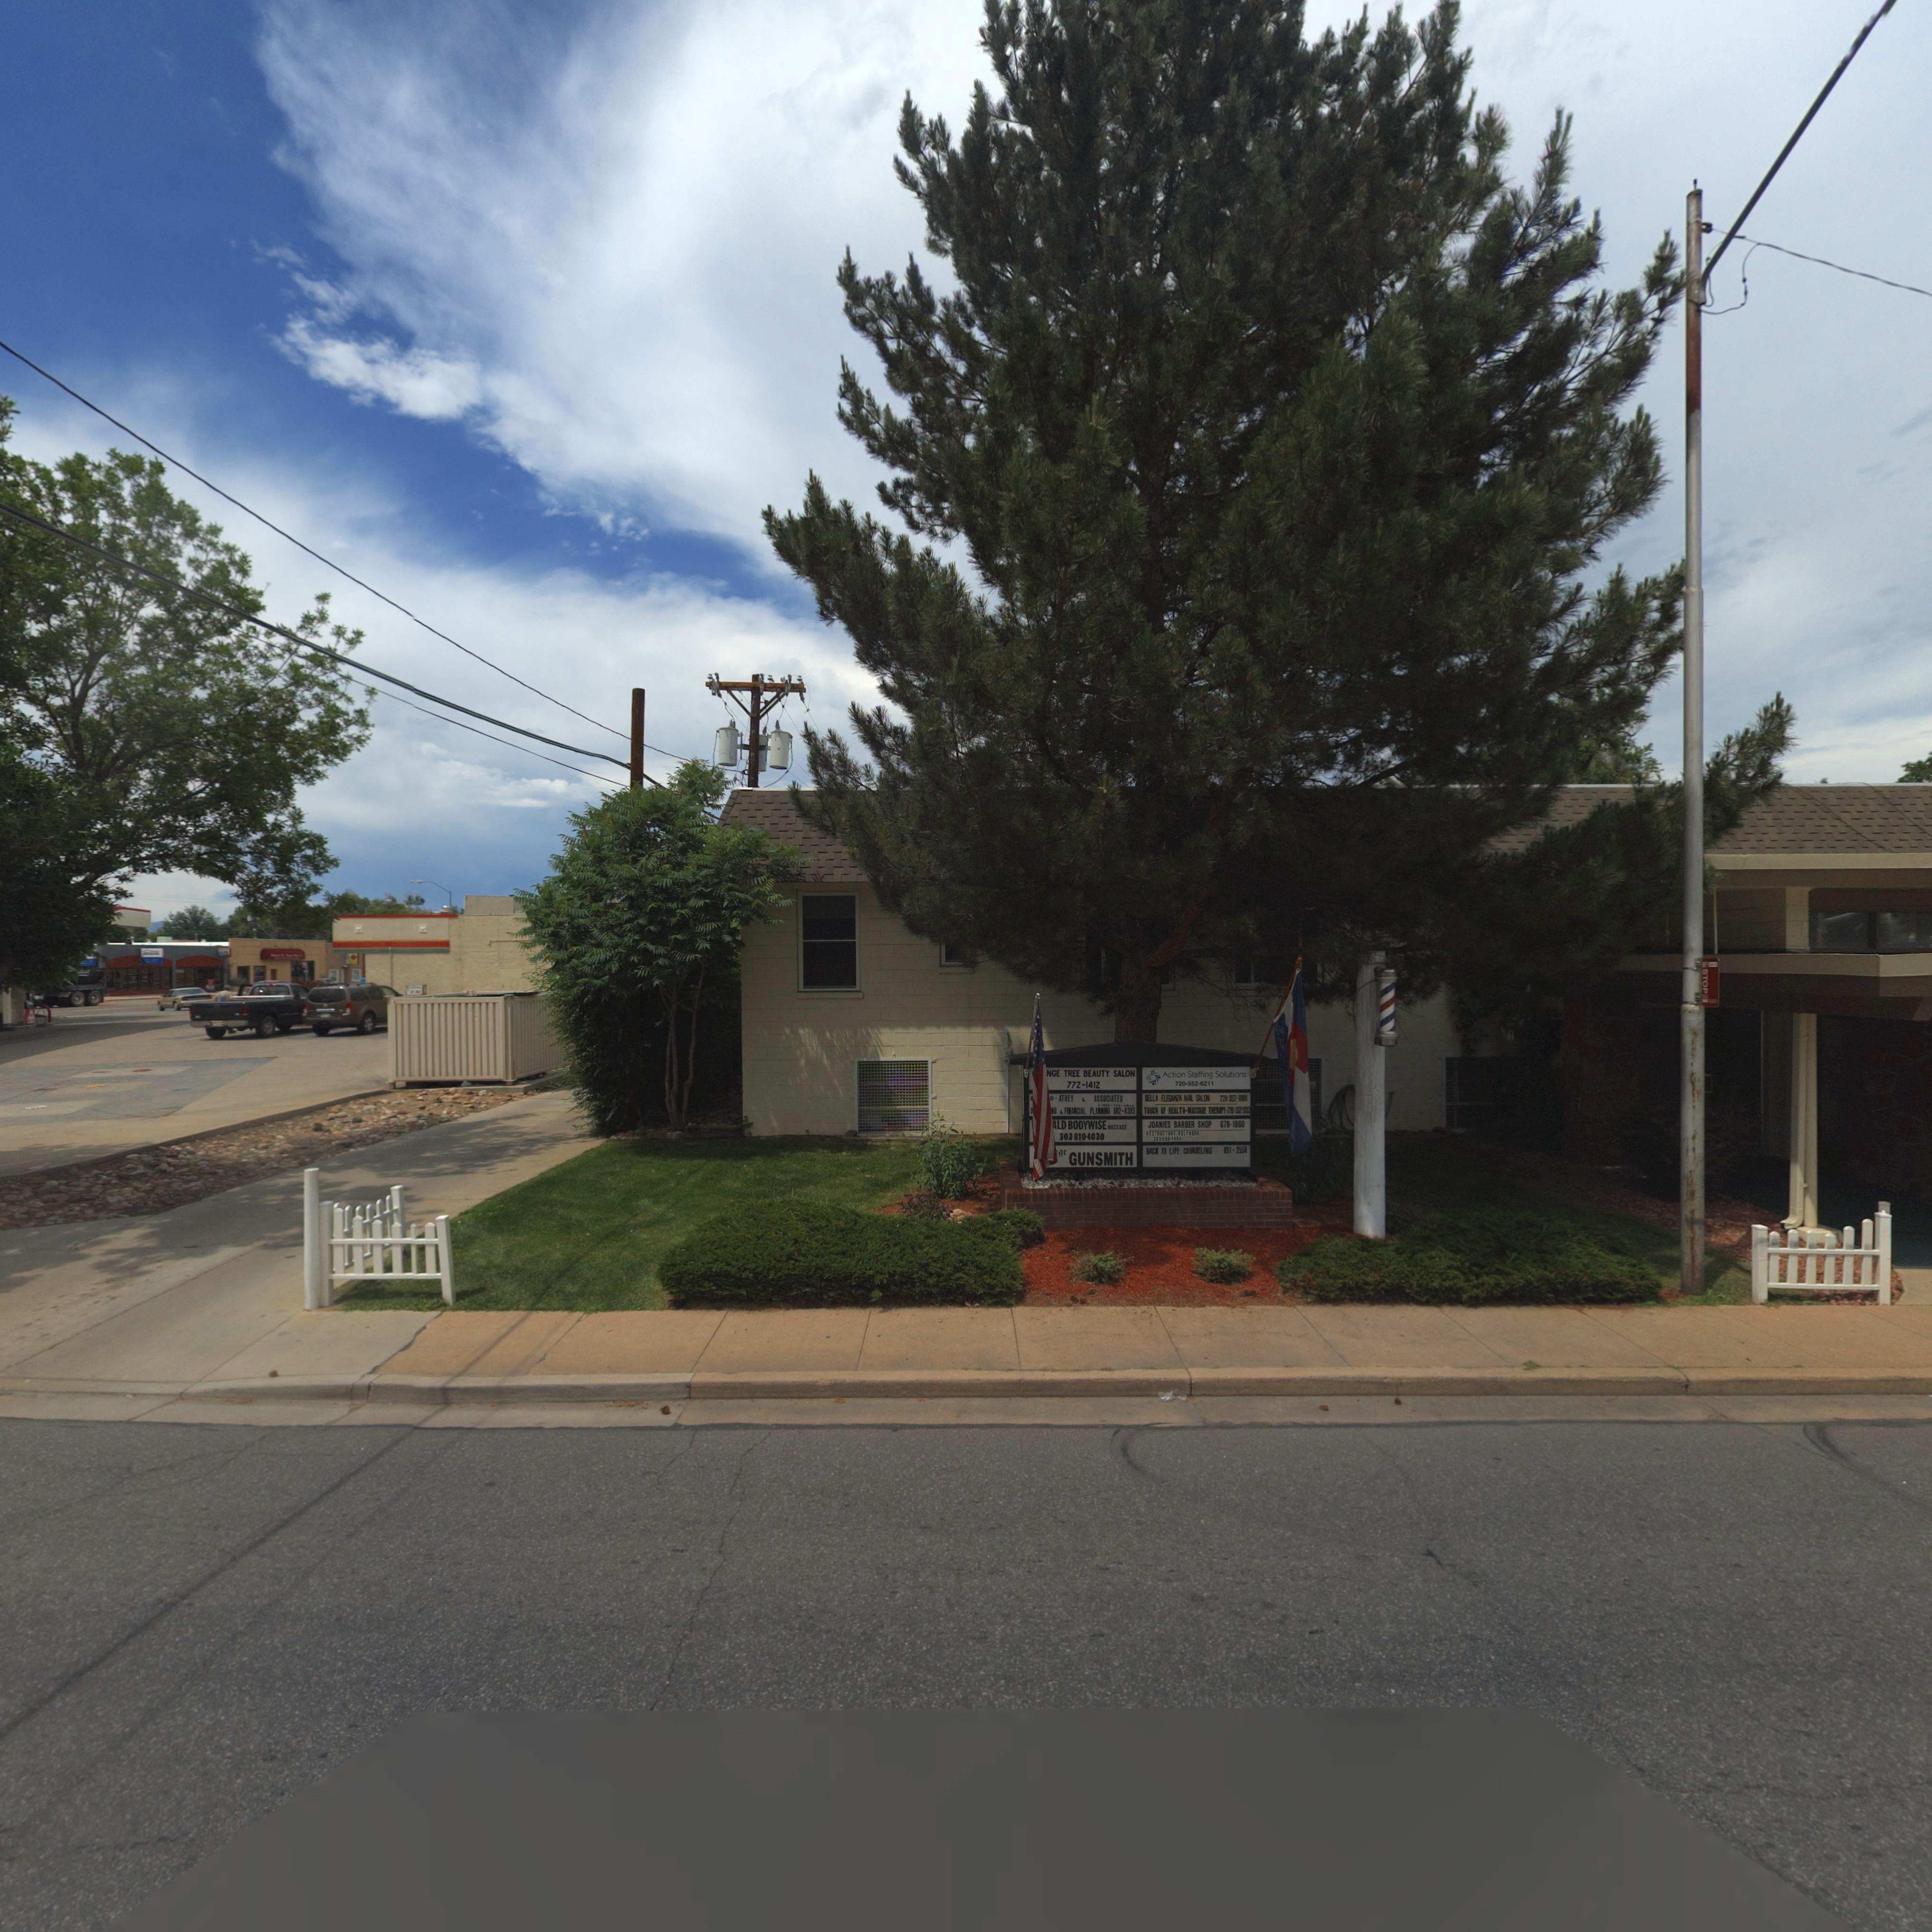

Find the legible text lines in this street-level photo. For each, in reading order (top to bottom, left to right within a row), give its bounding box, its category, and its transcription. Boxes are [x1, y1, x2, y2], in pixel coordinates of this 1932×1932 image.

[1046, 1069, 1135, 1077] BusinessName: NGE TREE BEAUY SALON
[1161, 1070, 1247, 1079] BusinessName: Action Staffing Solutions 
[1058, 1094, 1123, 1102] BusinessName: ATHEY & ASSOCIATES
[1144, 1094, 1210, 1102] BusinessName: BELLA ELEGANZA NAIL SALON
[1143, 1106, 1226, 1115] BusinessName: TOUCH OF HEALTH-MASSAGE THERAPY
[1052, 1120, 1107, 1130] BusinessName: ALD BODYWISE
[1107, 1124, 1127, 1130] BusinessName: MASSAGE
[1148, 1121, 1211, 1128] None: JOANIES BARBER SHOP
[1058, 1149, 1066, 1158] BusinessName: ge
[1146, 1147, 1212, 1154] BusinessName: BACK TO LIFE COUNSELING
[1068, 1151, 1133, 1166] BusinessName: GUNSMITH